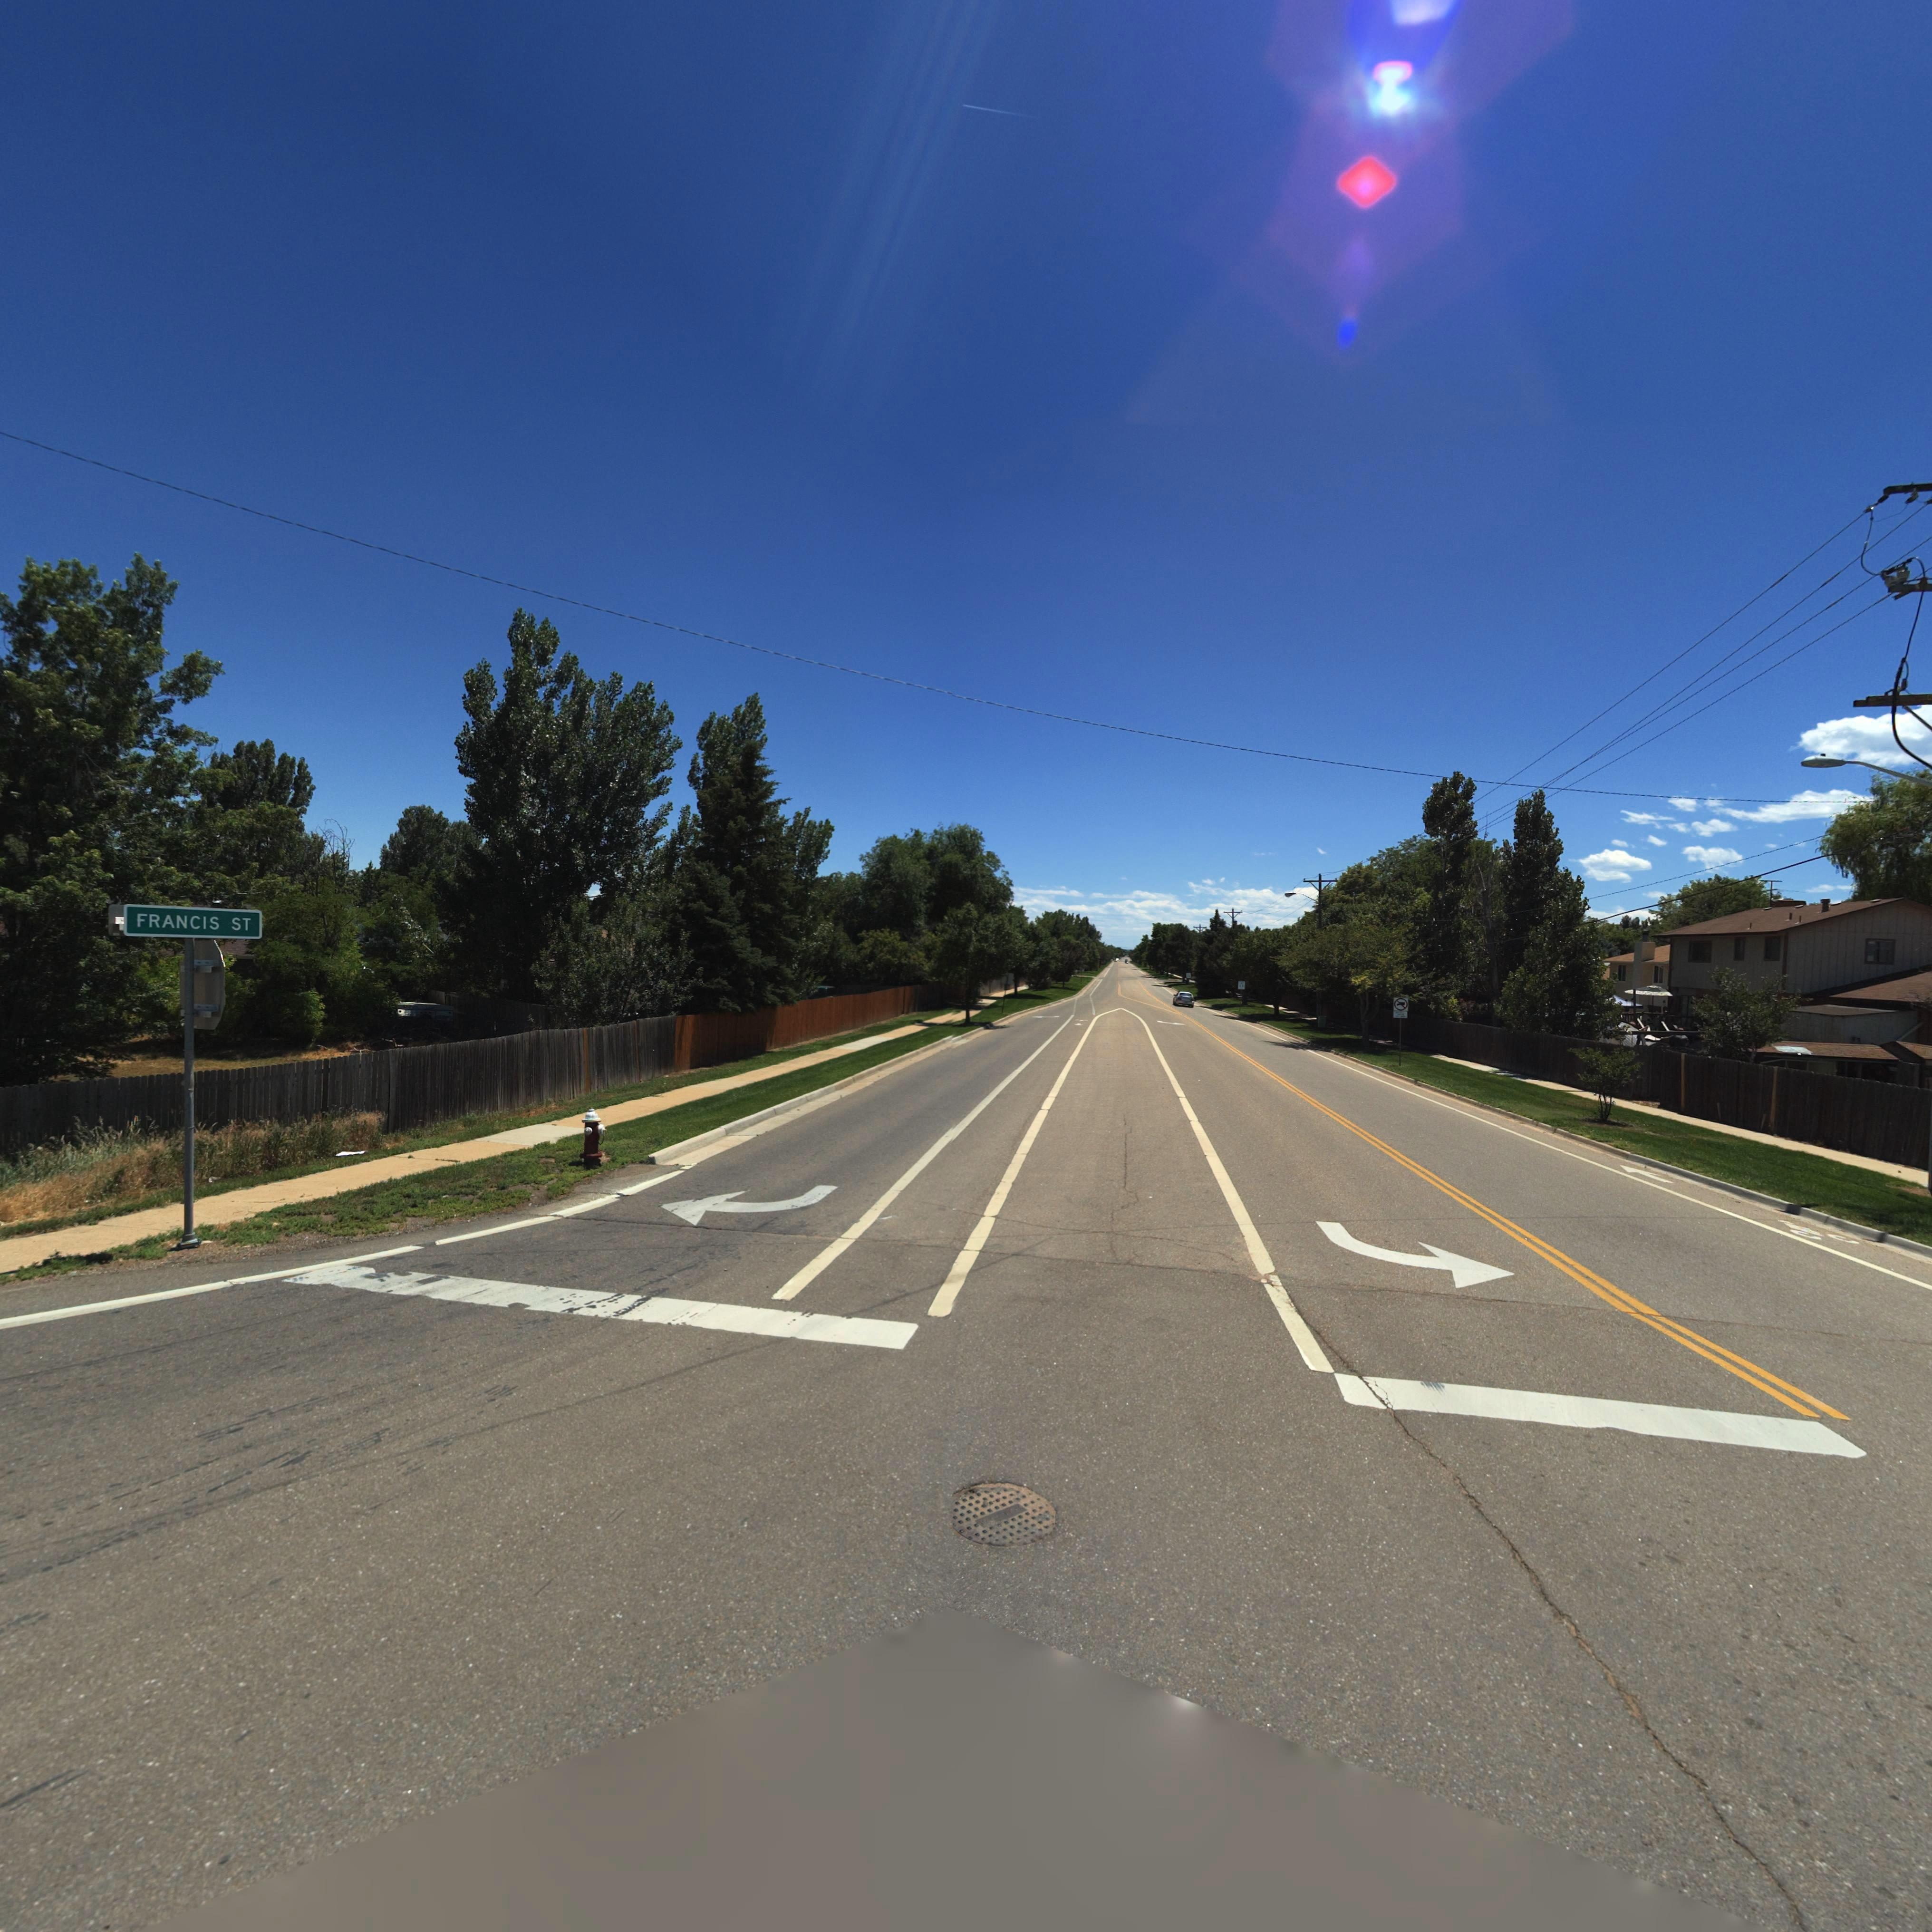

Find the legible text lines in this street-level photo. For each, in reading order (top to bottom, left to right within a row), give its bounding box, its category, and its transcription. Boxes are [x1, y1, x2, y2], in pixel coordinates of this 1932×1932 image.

[137, 913, 251, 931] StreetName: FRANCIS ST